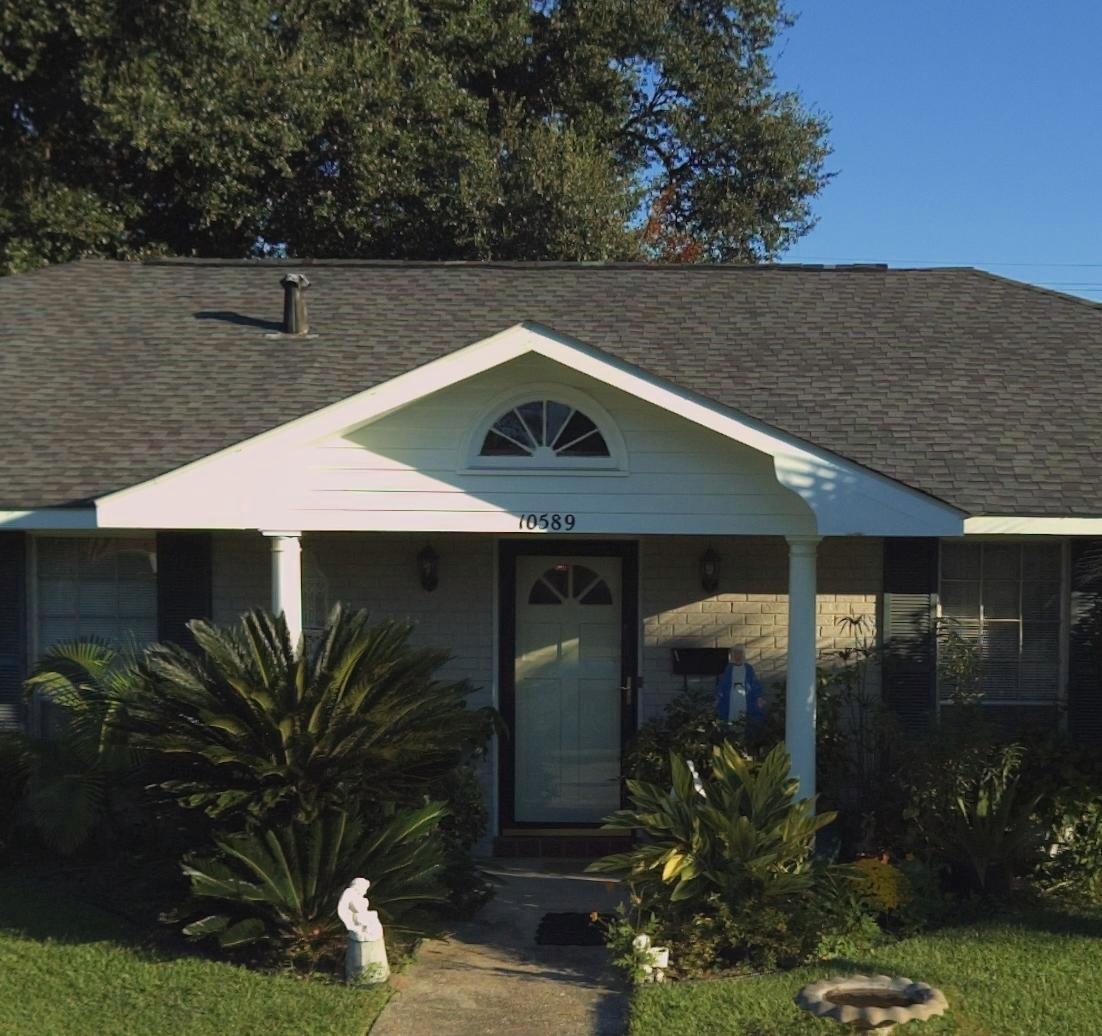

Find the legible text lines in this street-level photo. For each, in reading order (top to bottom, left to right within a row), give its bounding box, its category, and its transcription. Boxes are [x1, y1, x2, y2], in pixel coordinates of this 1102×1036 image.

[517, 512, 577, 533] StreetNumber: 10589